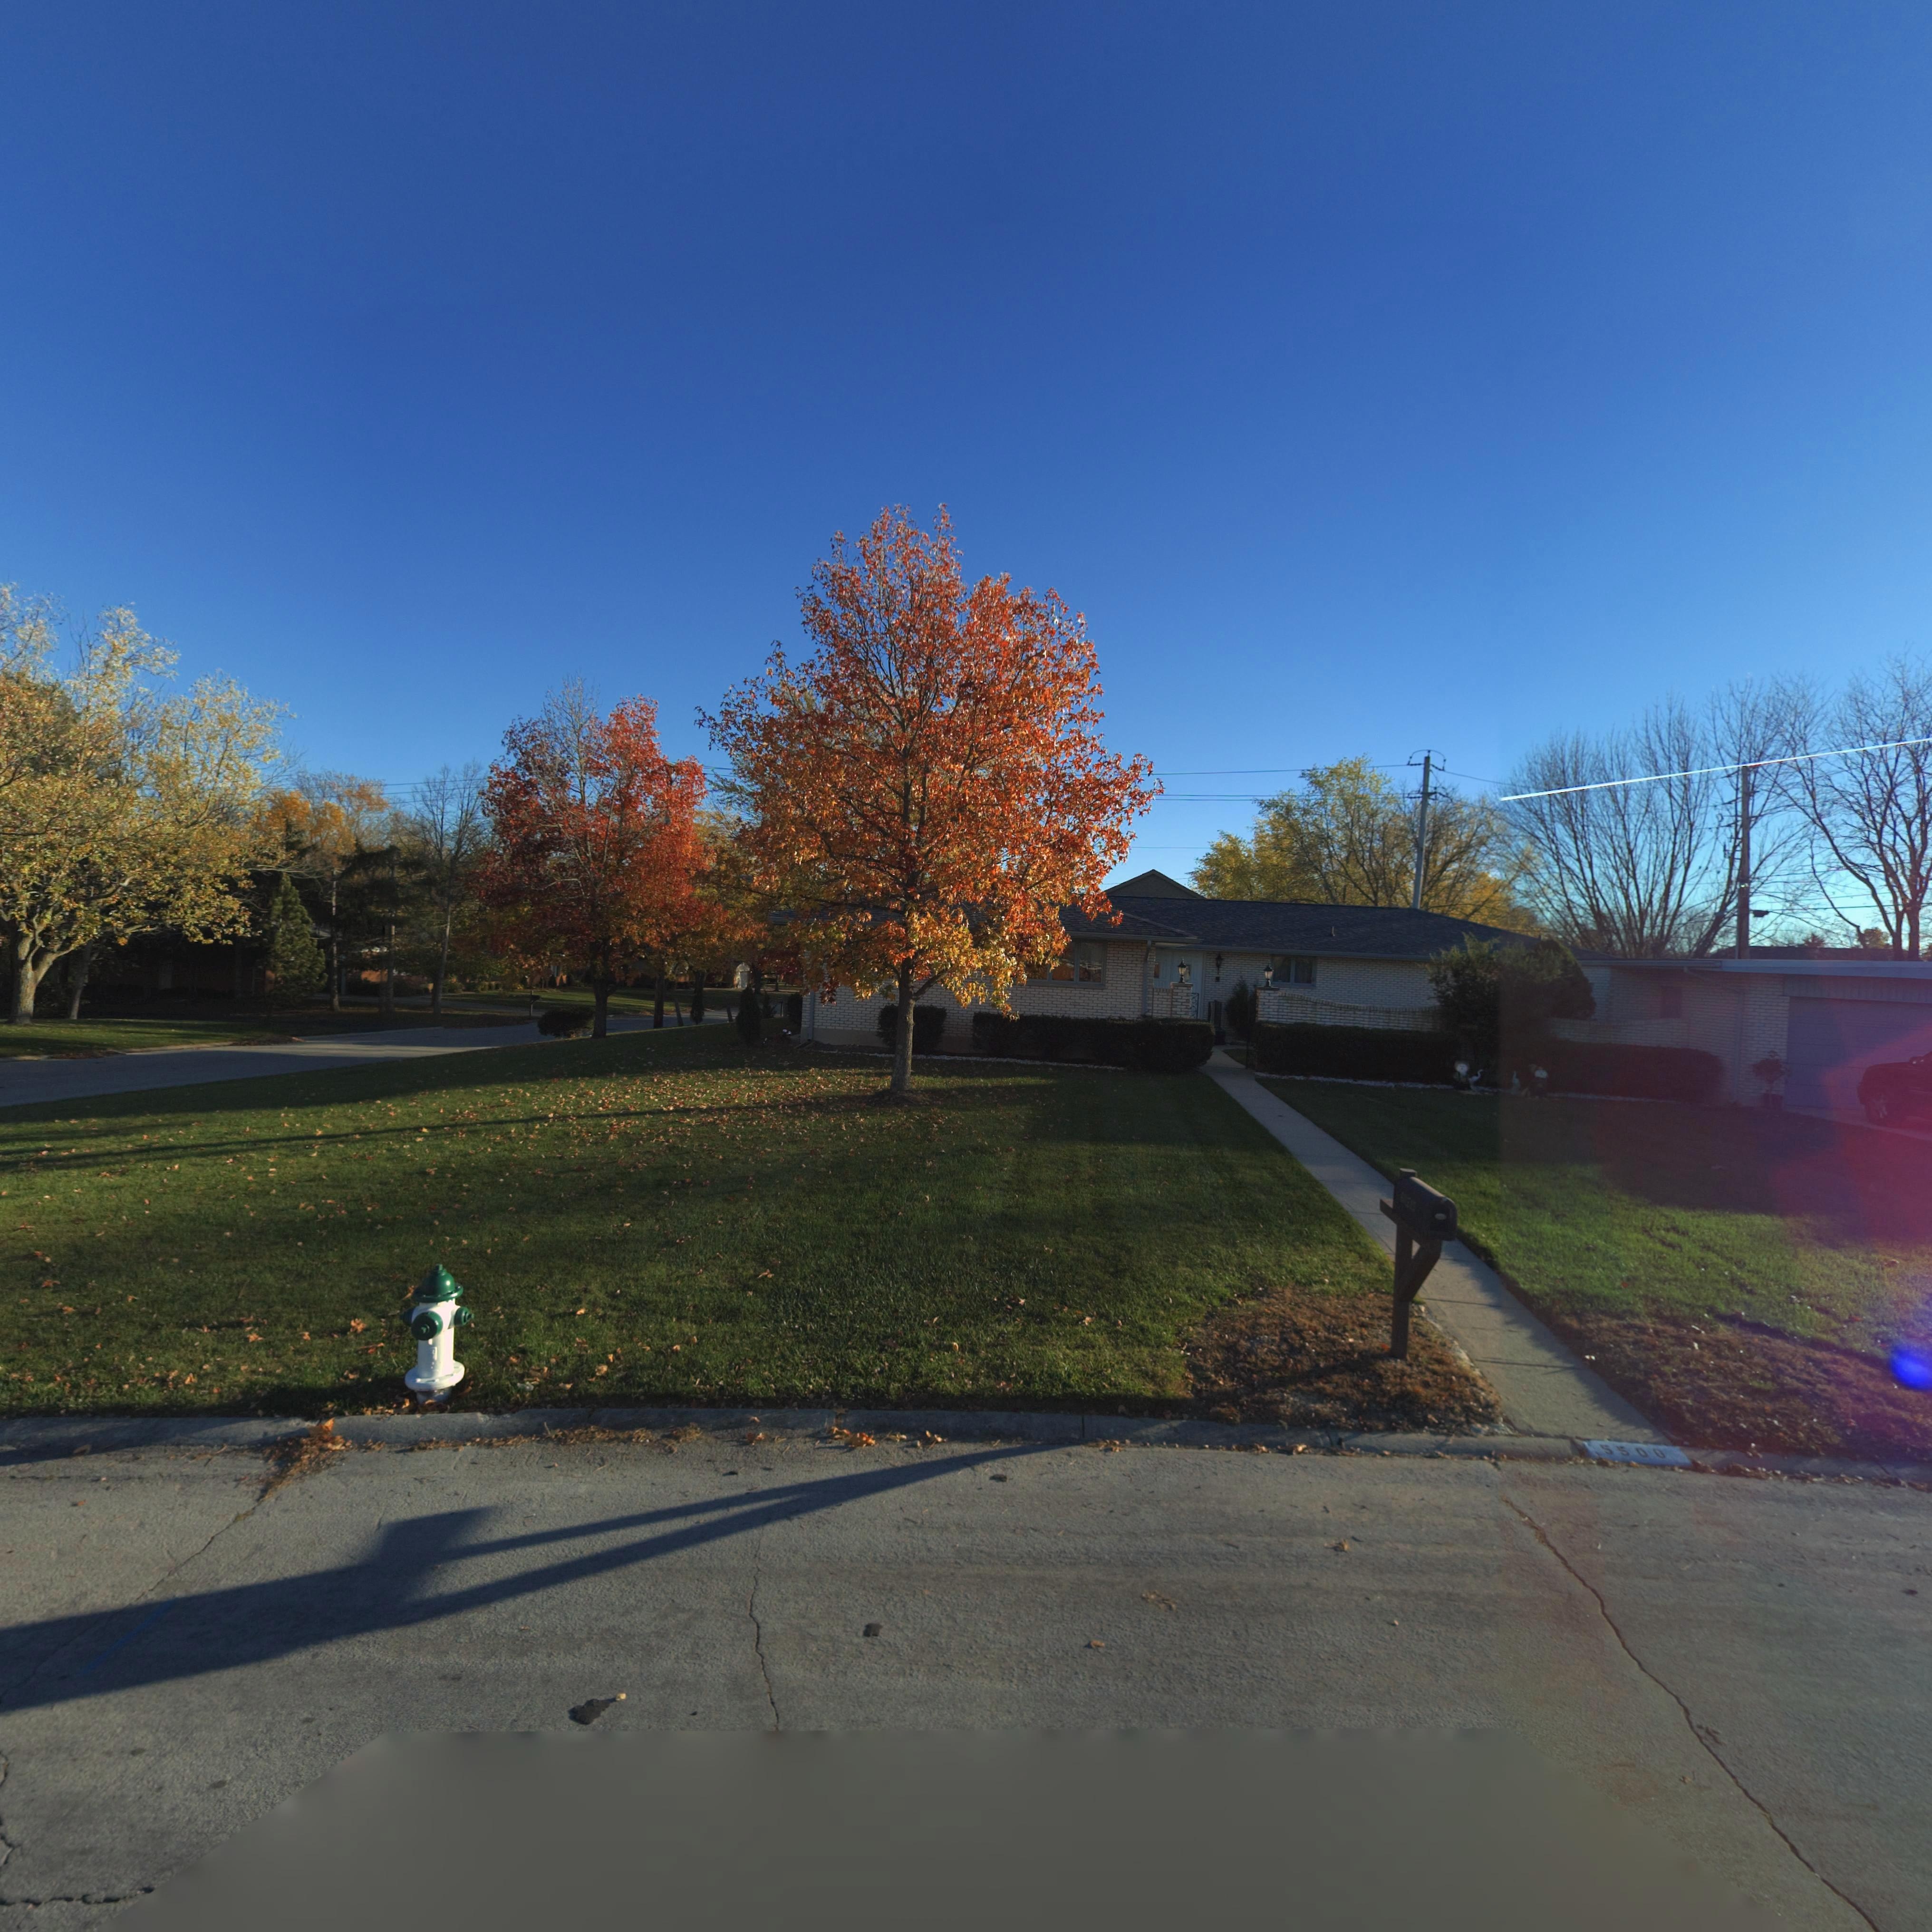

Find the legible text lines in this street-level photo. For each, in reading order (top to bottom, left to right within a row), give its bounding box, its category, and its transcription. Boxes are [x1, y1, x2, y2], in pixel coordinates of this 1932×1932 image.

[1597, 1443, 1667, 1459] StreetNumber: 5500